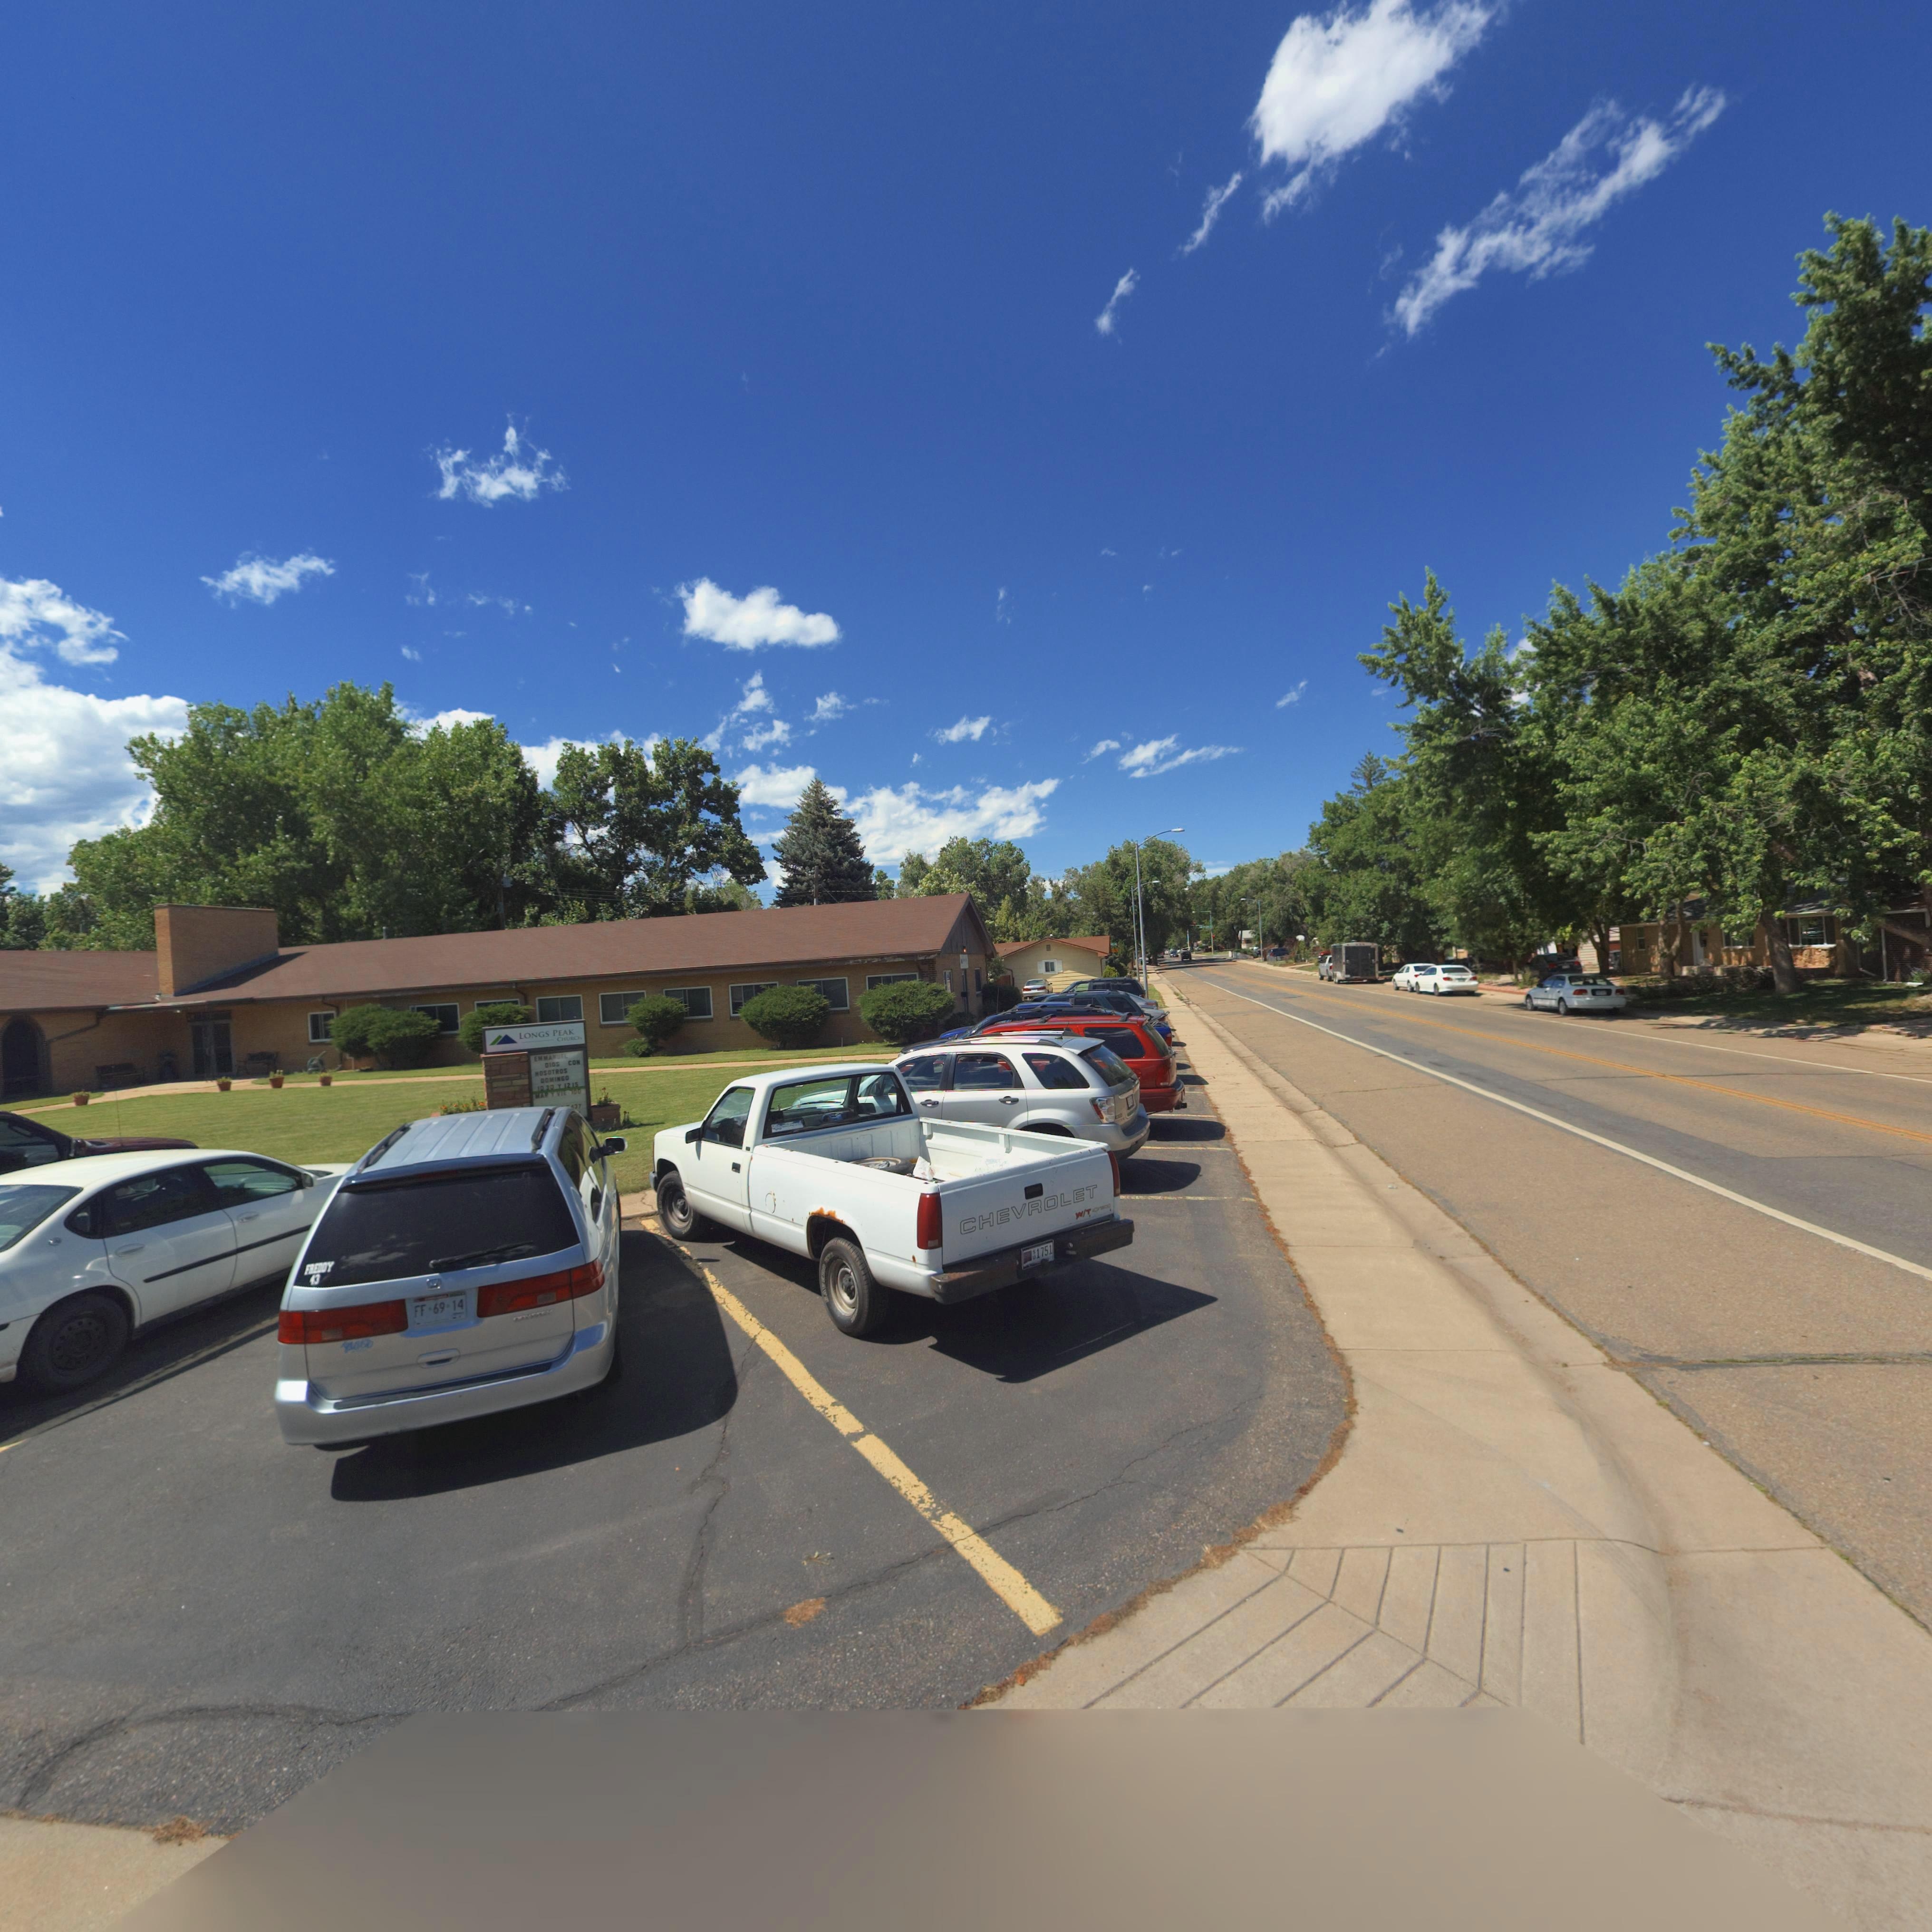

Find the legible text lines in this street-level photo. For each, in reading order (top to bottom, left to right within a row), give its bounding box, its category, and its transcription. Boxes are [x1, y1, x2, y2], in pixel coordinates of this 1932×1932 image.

[519, 1028, 574, 1039] BusinessName: LONGS PEAK 
[557, 1035, 581, 1042] StreetName: Church 